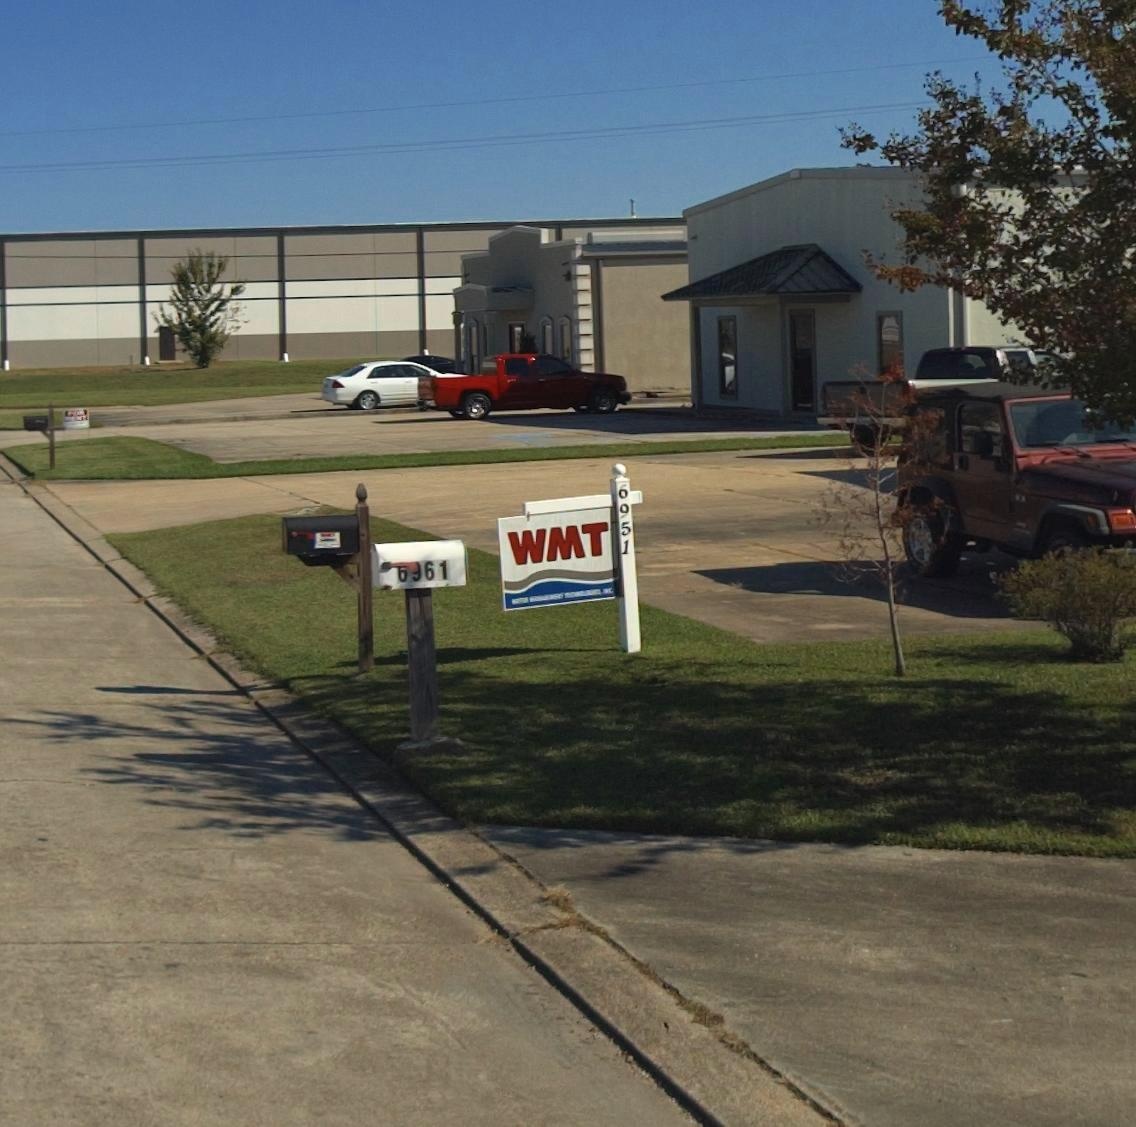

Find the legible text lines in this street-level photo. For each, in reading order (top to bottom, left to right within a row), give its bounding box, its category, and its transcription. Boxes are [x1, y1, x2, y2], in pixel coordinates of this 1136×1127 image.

[502, 517, 611, 569] BusinessName: WMT
[616, 481, 633, 556] StreetNumber: 6951
[422, 557, 451, 583] StreetNumber: 61